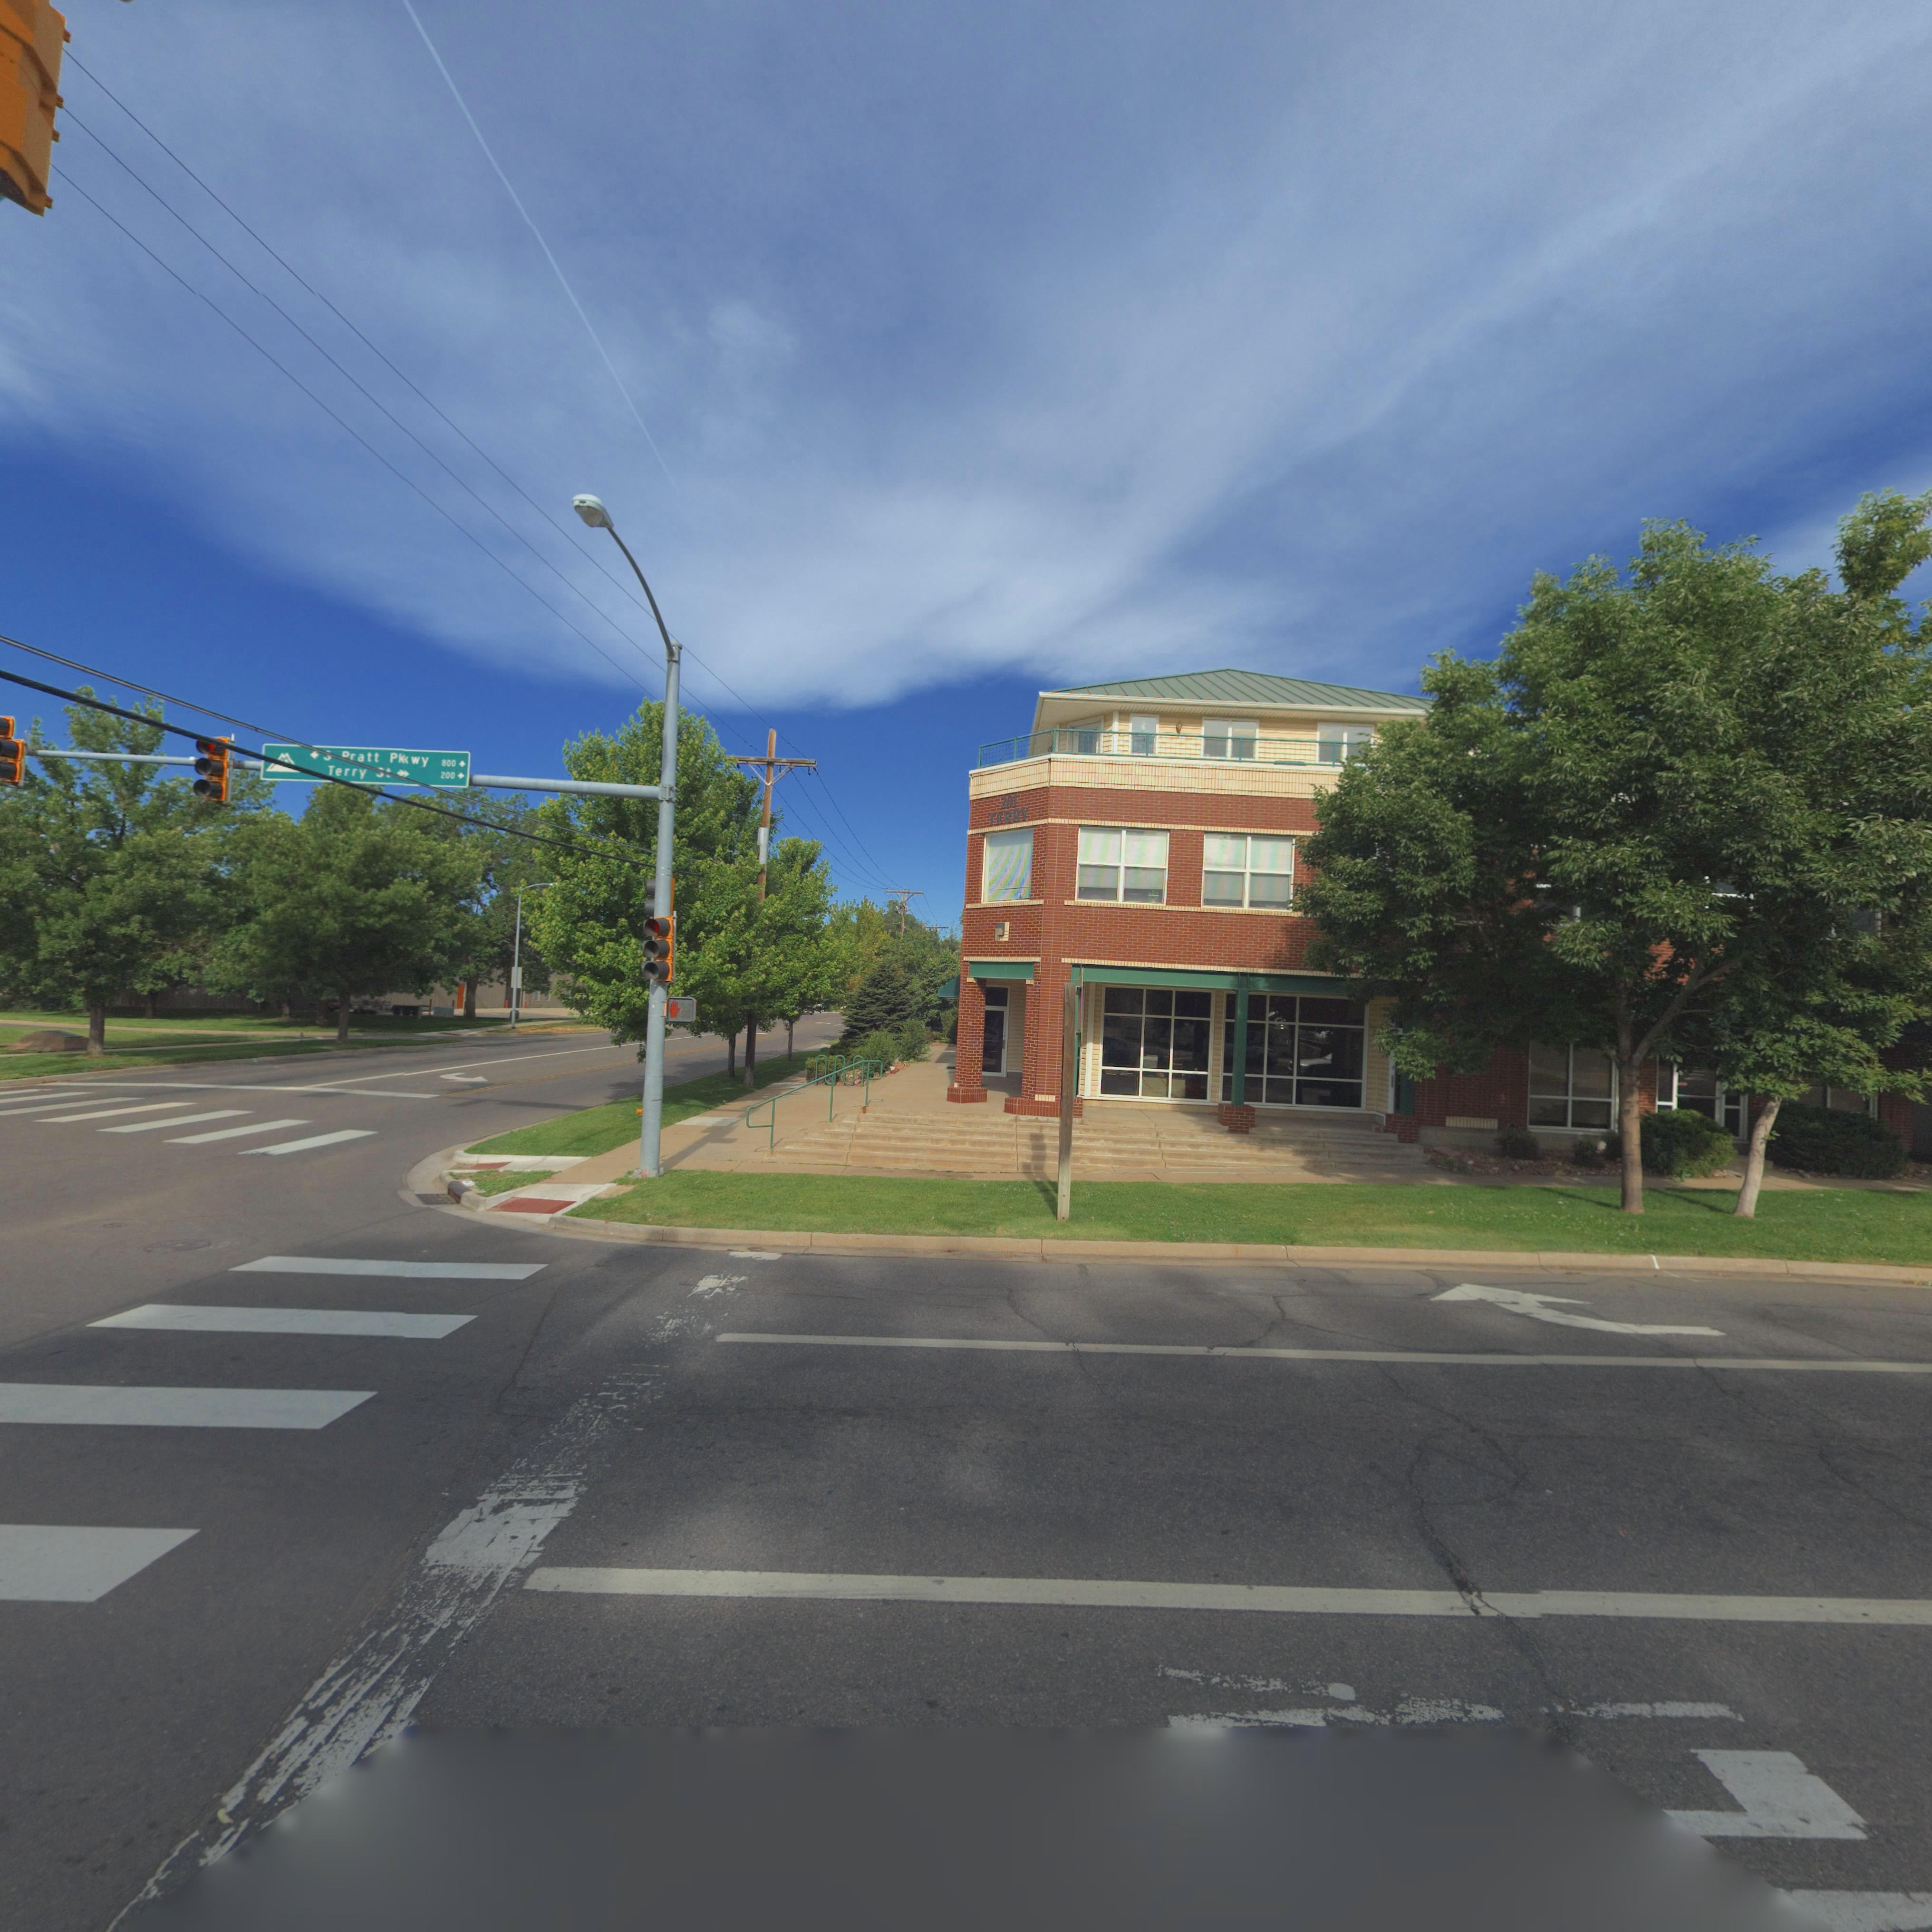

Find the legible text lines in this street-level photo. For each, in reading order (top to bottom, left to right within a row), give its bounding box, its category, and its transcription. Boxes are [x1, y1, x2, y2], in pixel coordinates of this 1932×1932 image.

[322, 750, 432, 769] StreetName: S *ratt Pk*wy
[440, 758, 457, 767] StreetNumberRange: 800
[327, 764, 393, 780] StreetName: Terry St
[439, 771, 464, 779] StreetNumberRange: 200->
[1000, 794, 1018, 810] StreetNumber: 201
[988, 806, 1028, 826] StreetName: TERRY